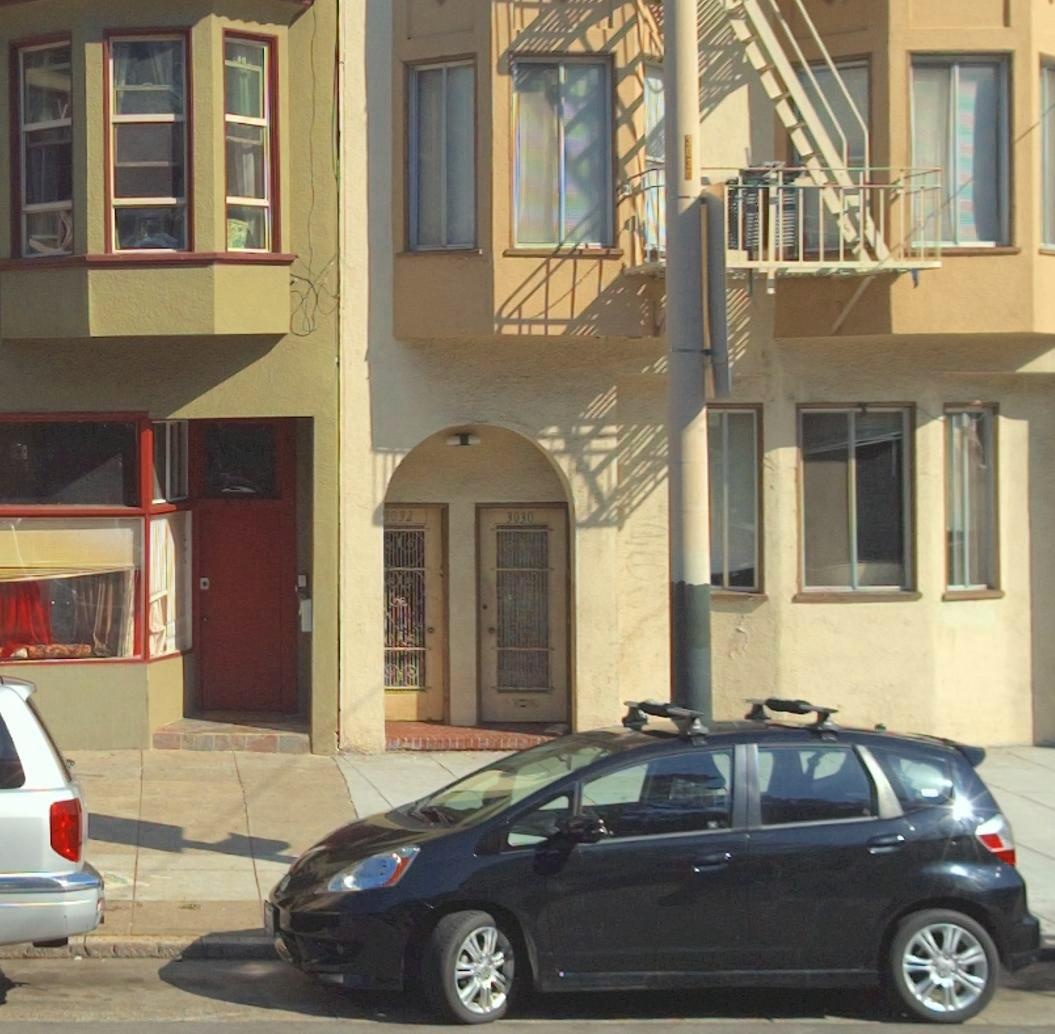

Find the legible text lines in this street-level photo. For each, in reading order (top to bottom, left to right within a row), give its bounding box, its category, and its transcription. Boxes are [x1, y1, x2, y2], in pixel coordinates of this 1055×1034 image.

[383, 507, 413, 522] StreetNumber: 3032
[505, 509, 536, 525] StreetNumber: 3030